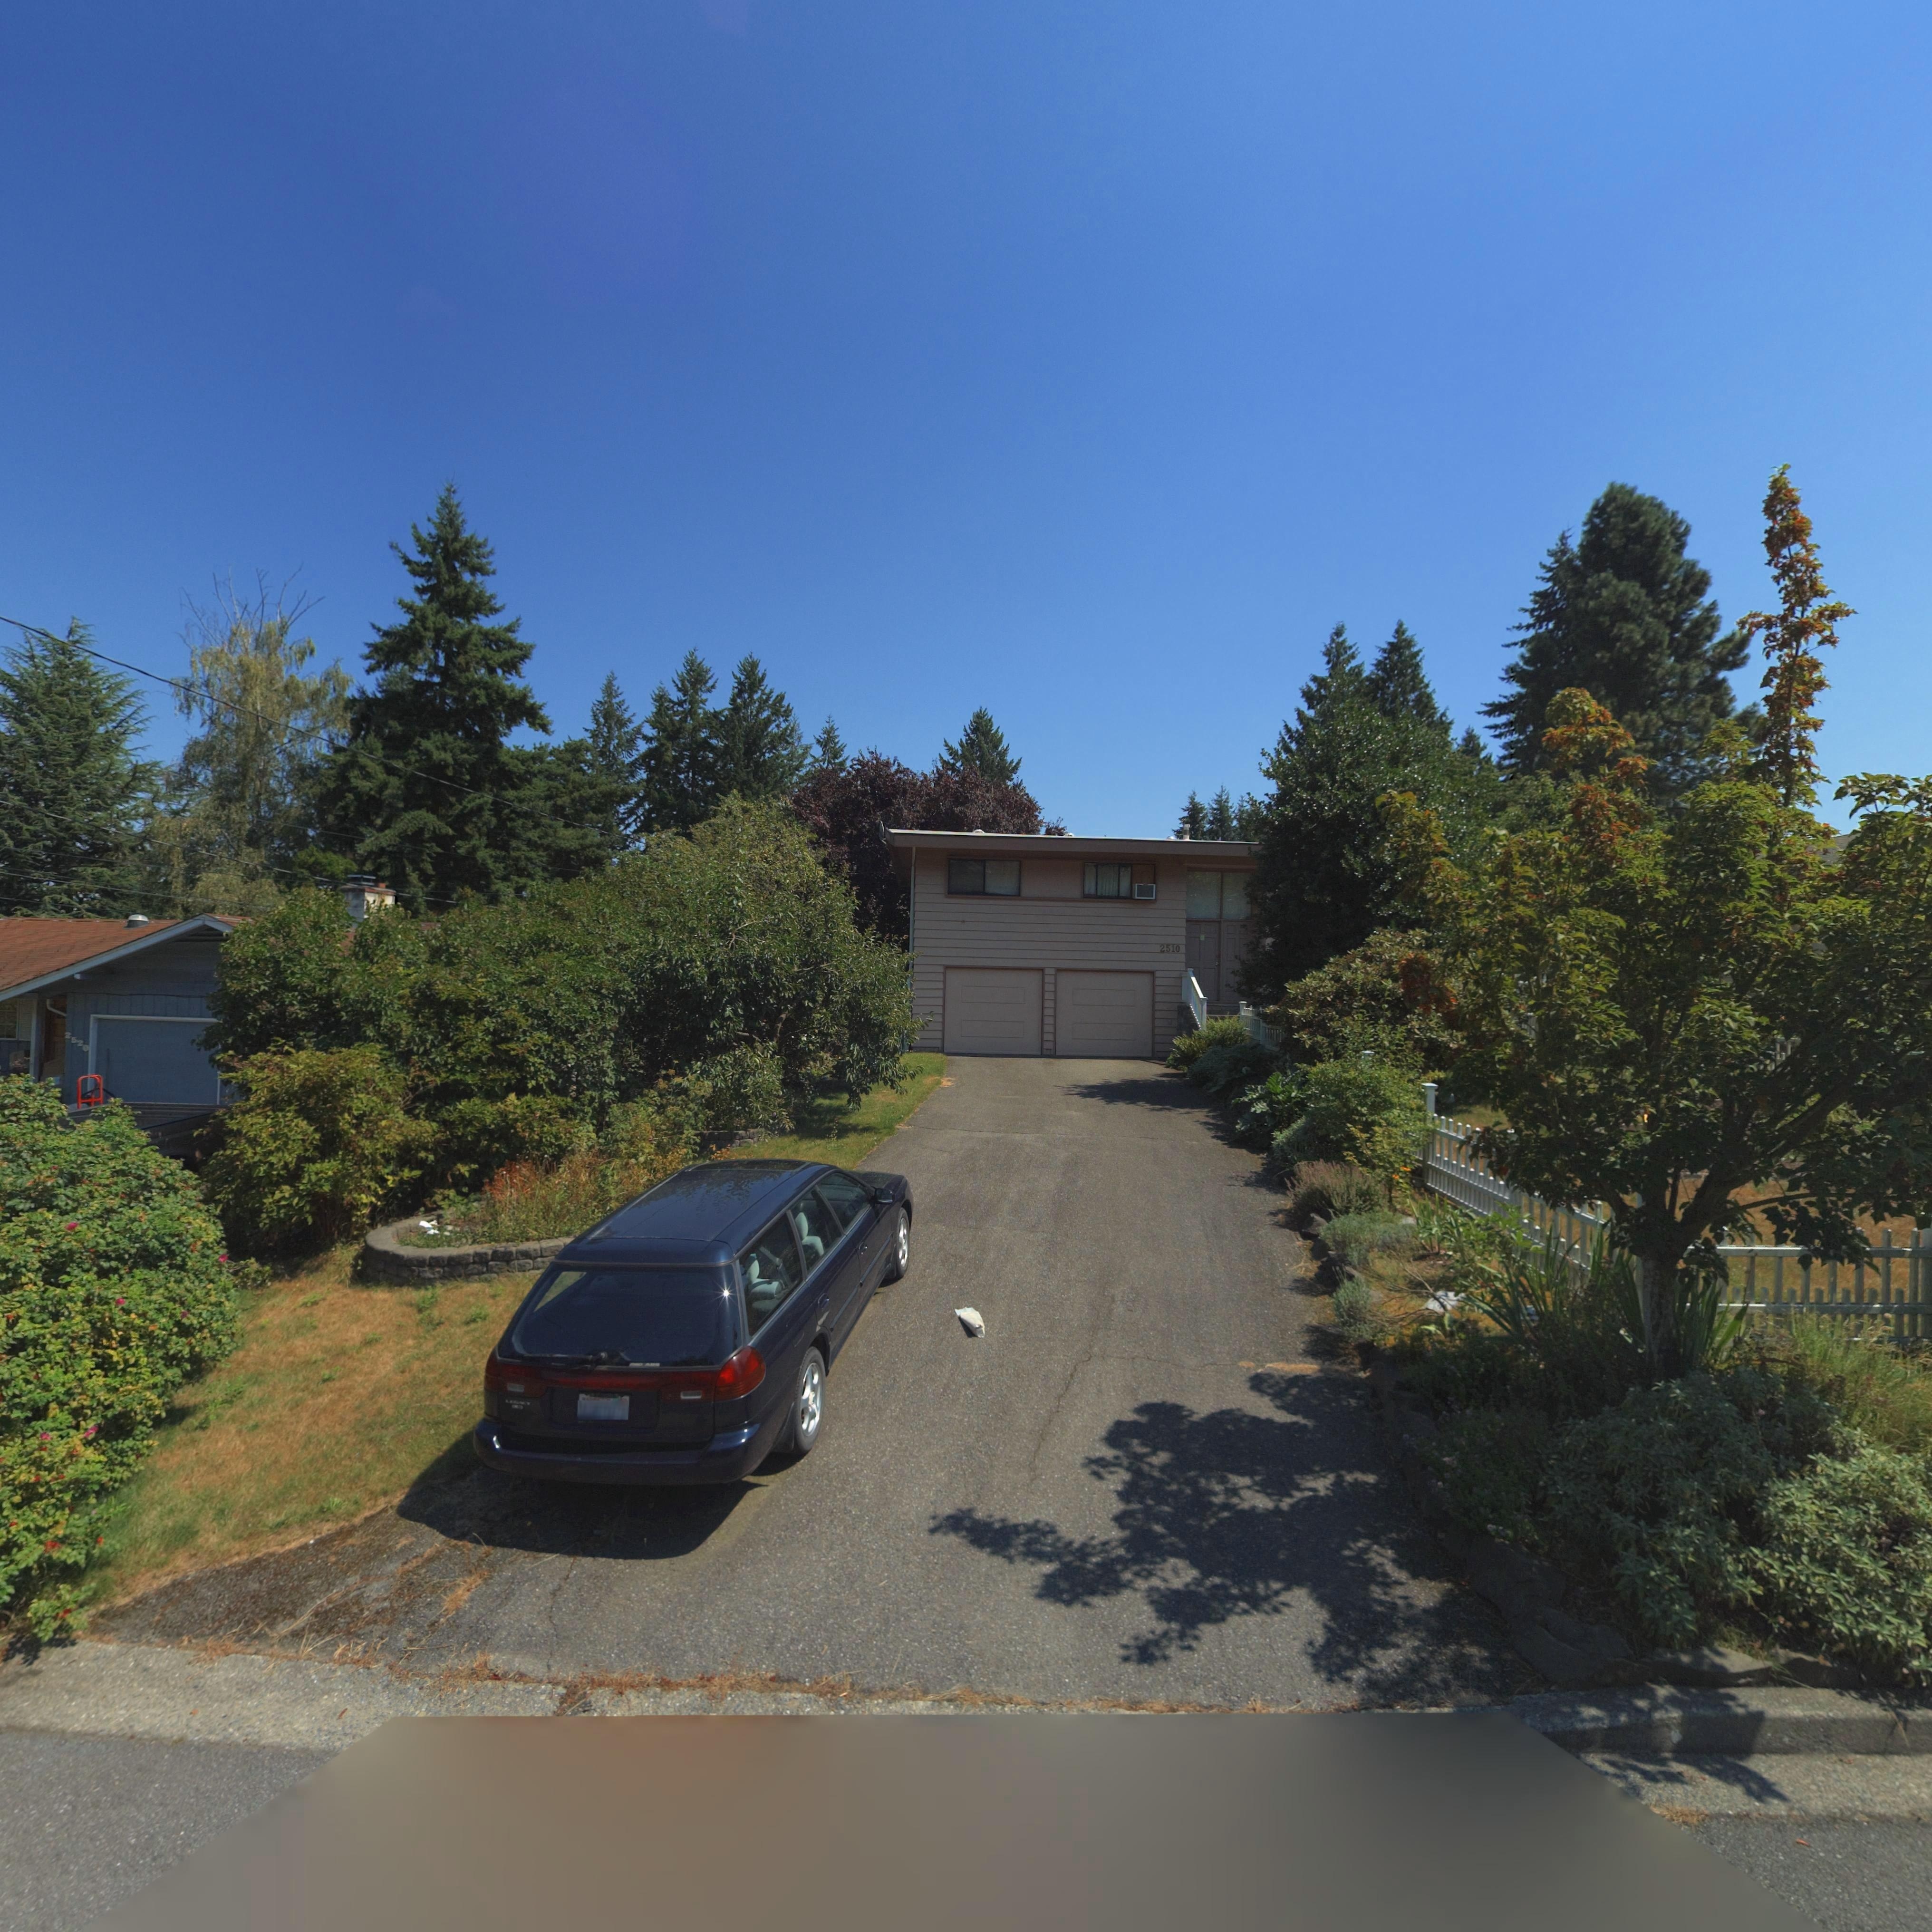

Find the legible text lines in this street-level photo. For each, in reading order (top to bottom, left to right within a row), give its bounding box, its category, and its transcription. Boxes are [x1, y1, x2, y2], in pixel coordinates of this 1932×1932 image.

[1159, 944, 1180, 952] StreetNumber: 2510